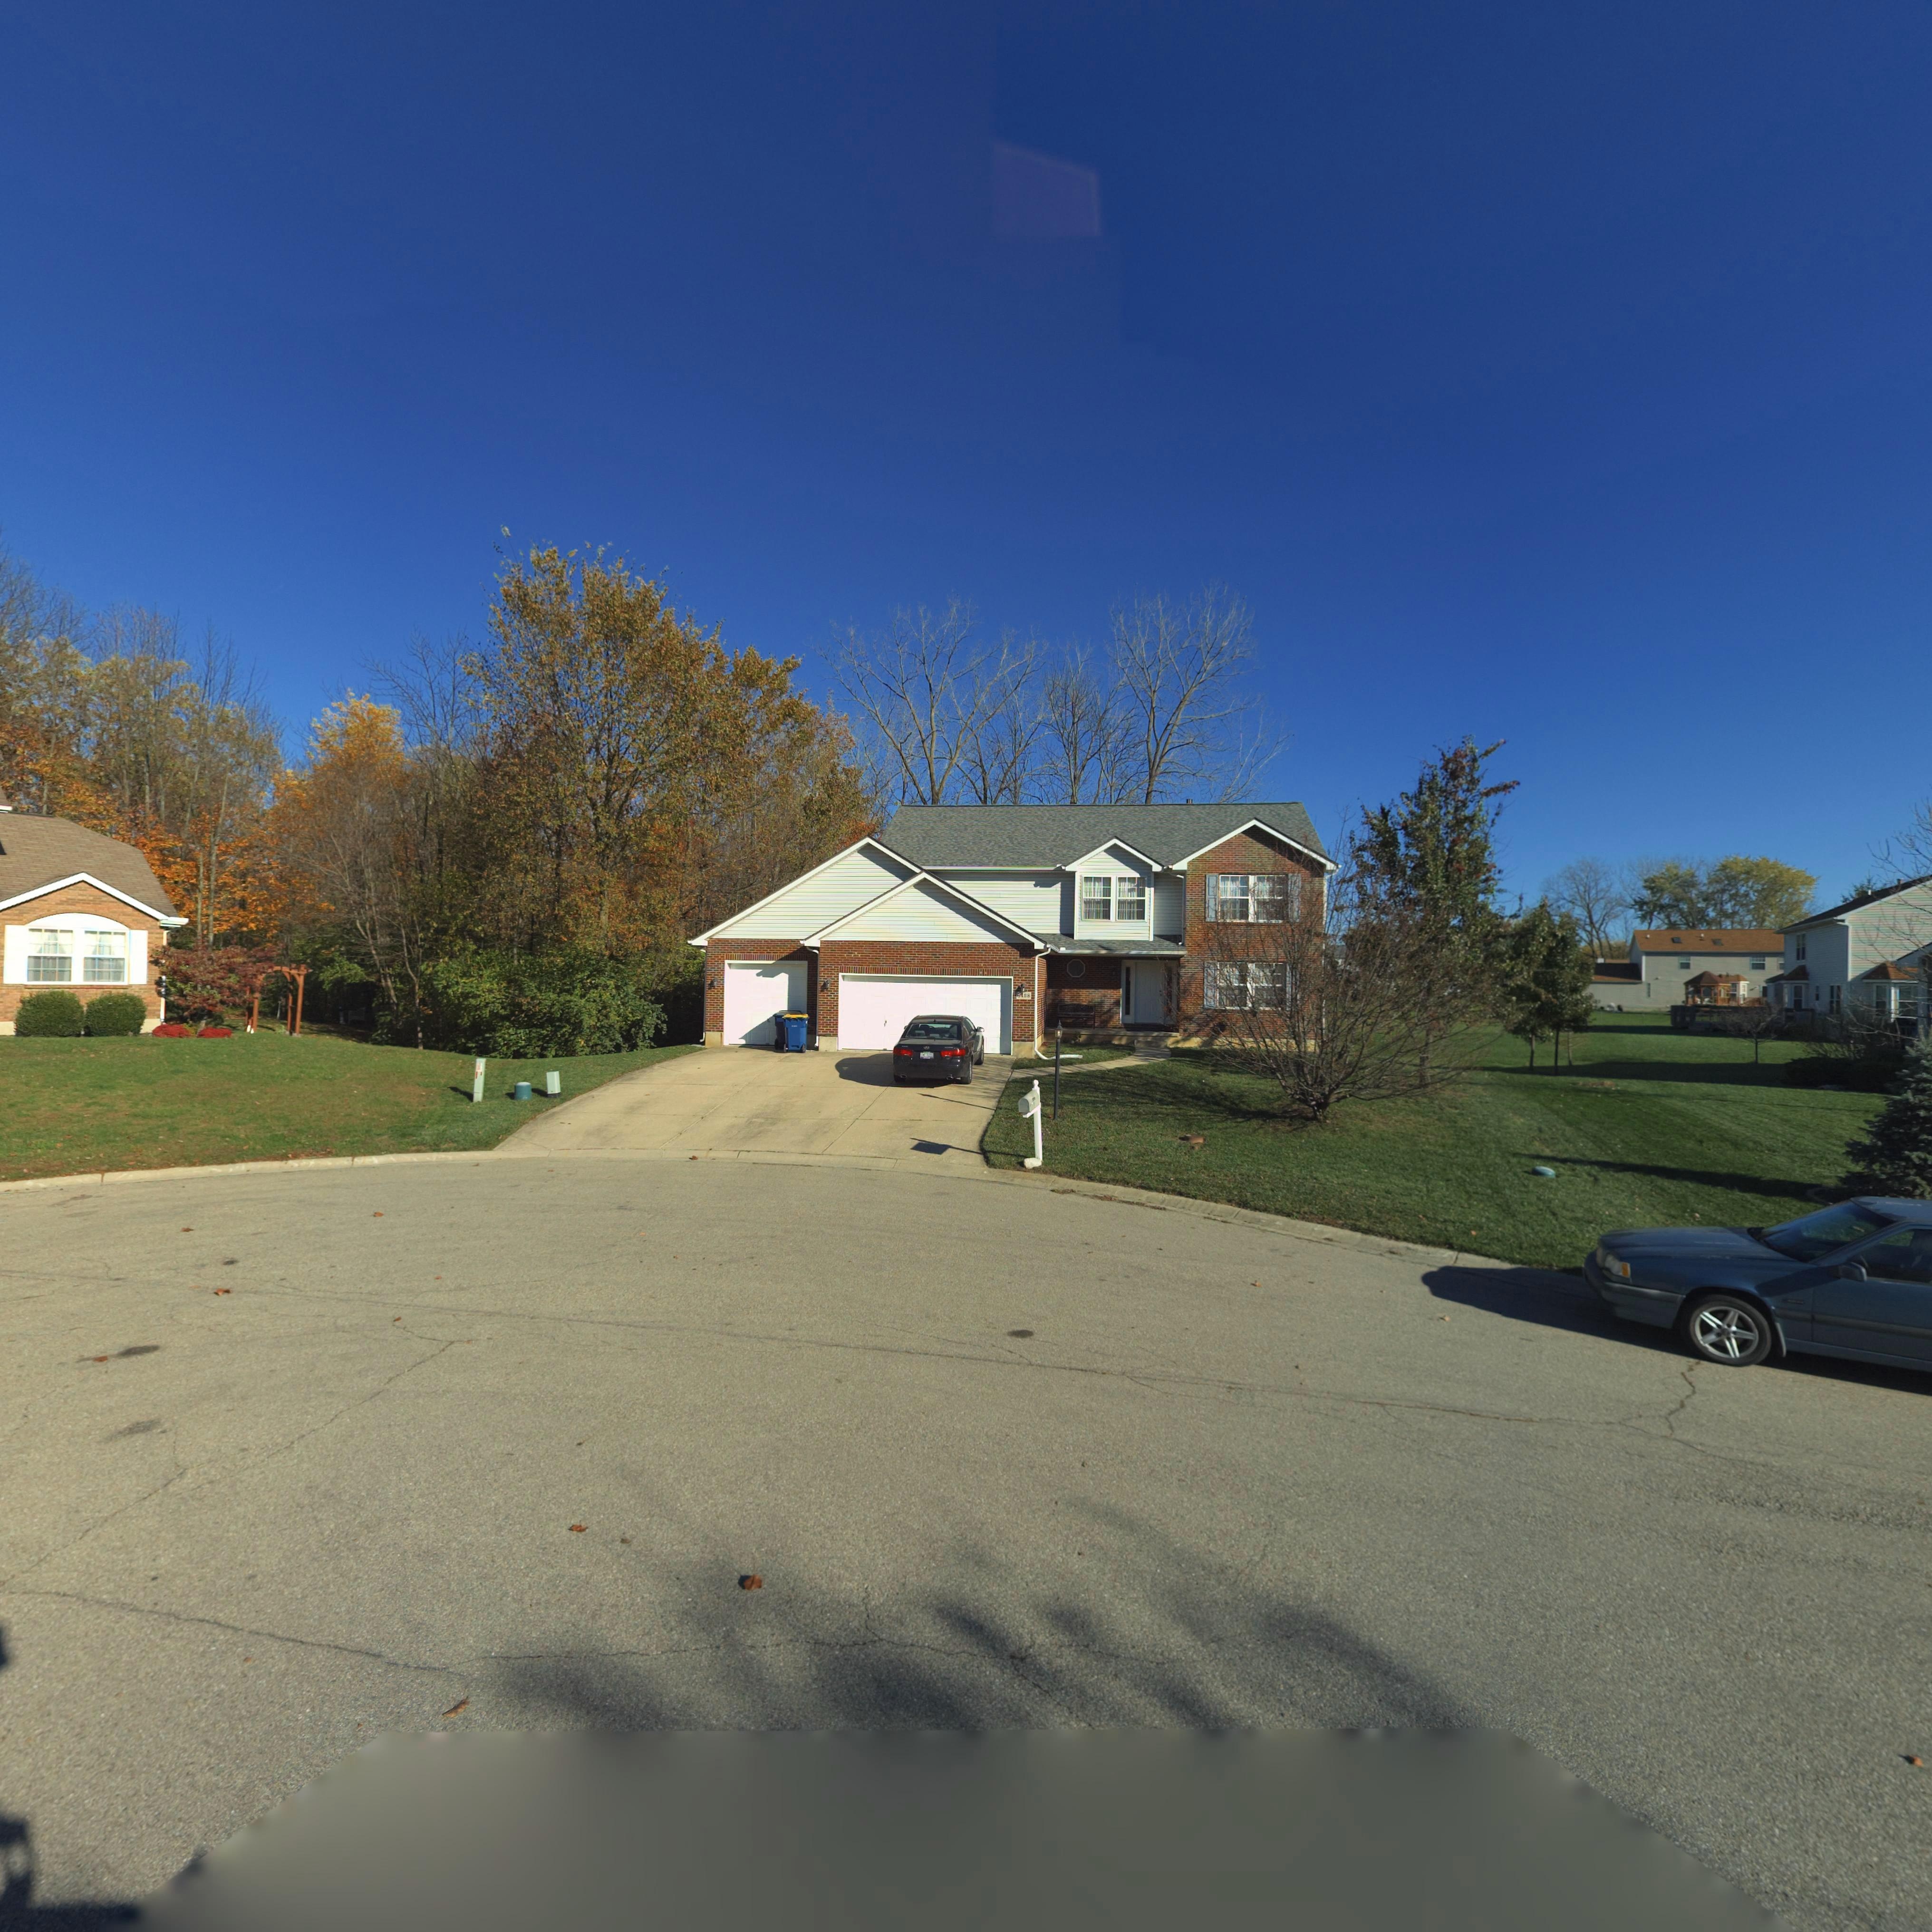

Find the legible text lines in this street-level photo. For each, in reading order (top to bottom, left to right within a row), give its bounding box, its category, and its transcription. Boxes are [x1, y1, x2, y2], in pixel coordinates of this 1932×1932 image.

[1016, 992, 1032, 999] StreetNumber: ***8